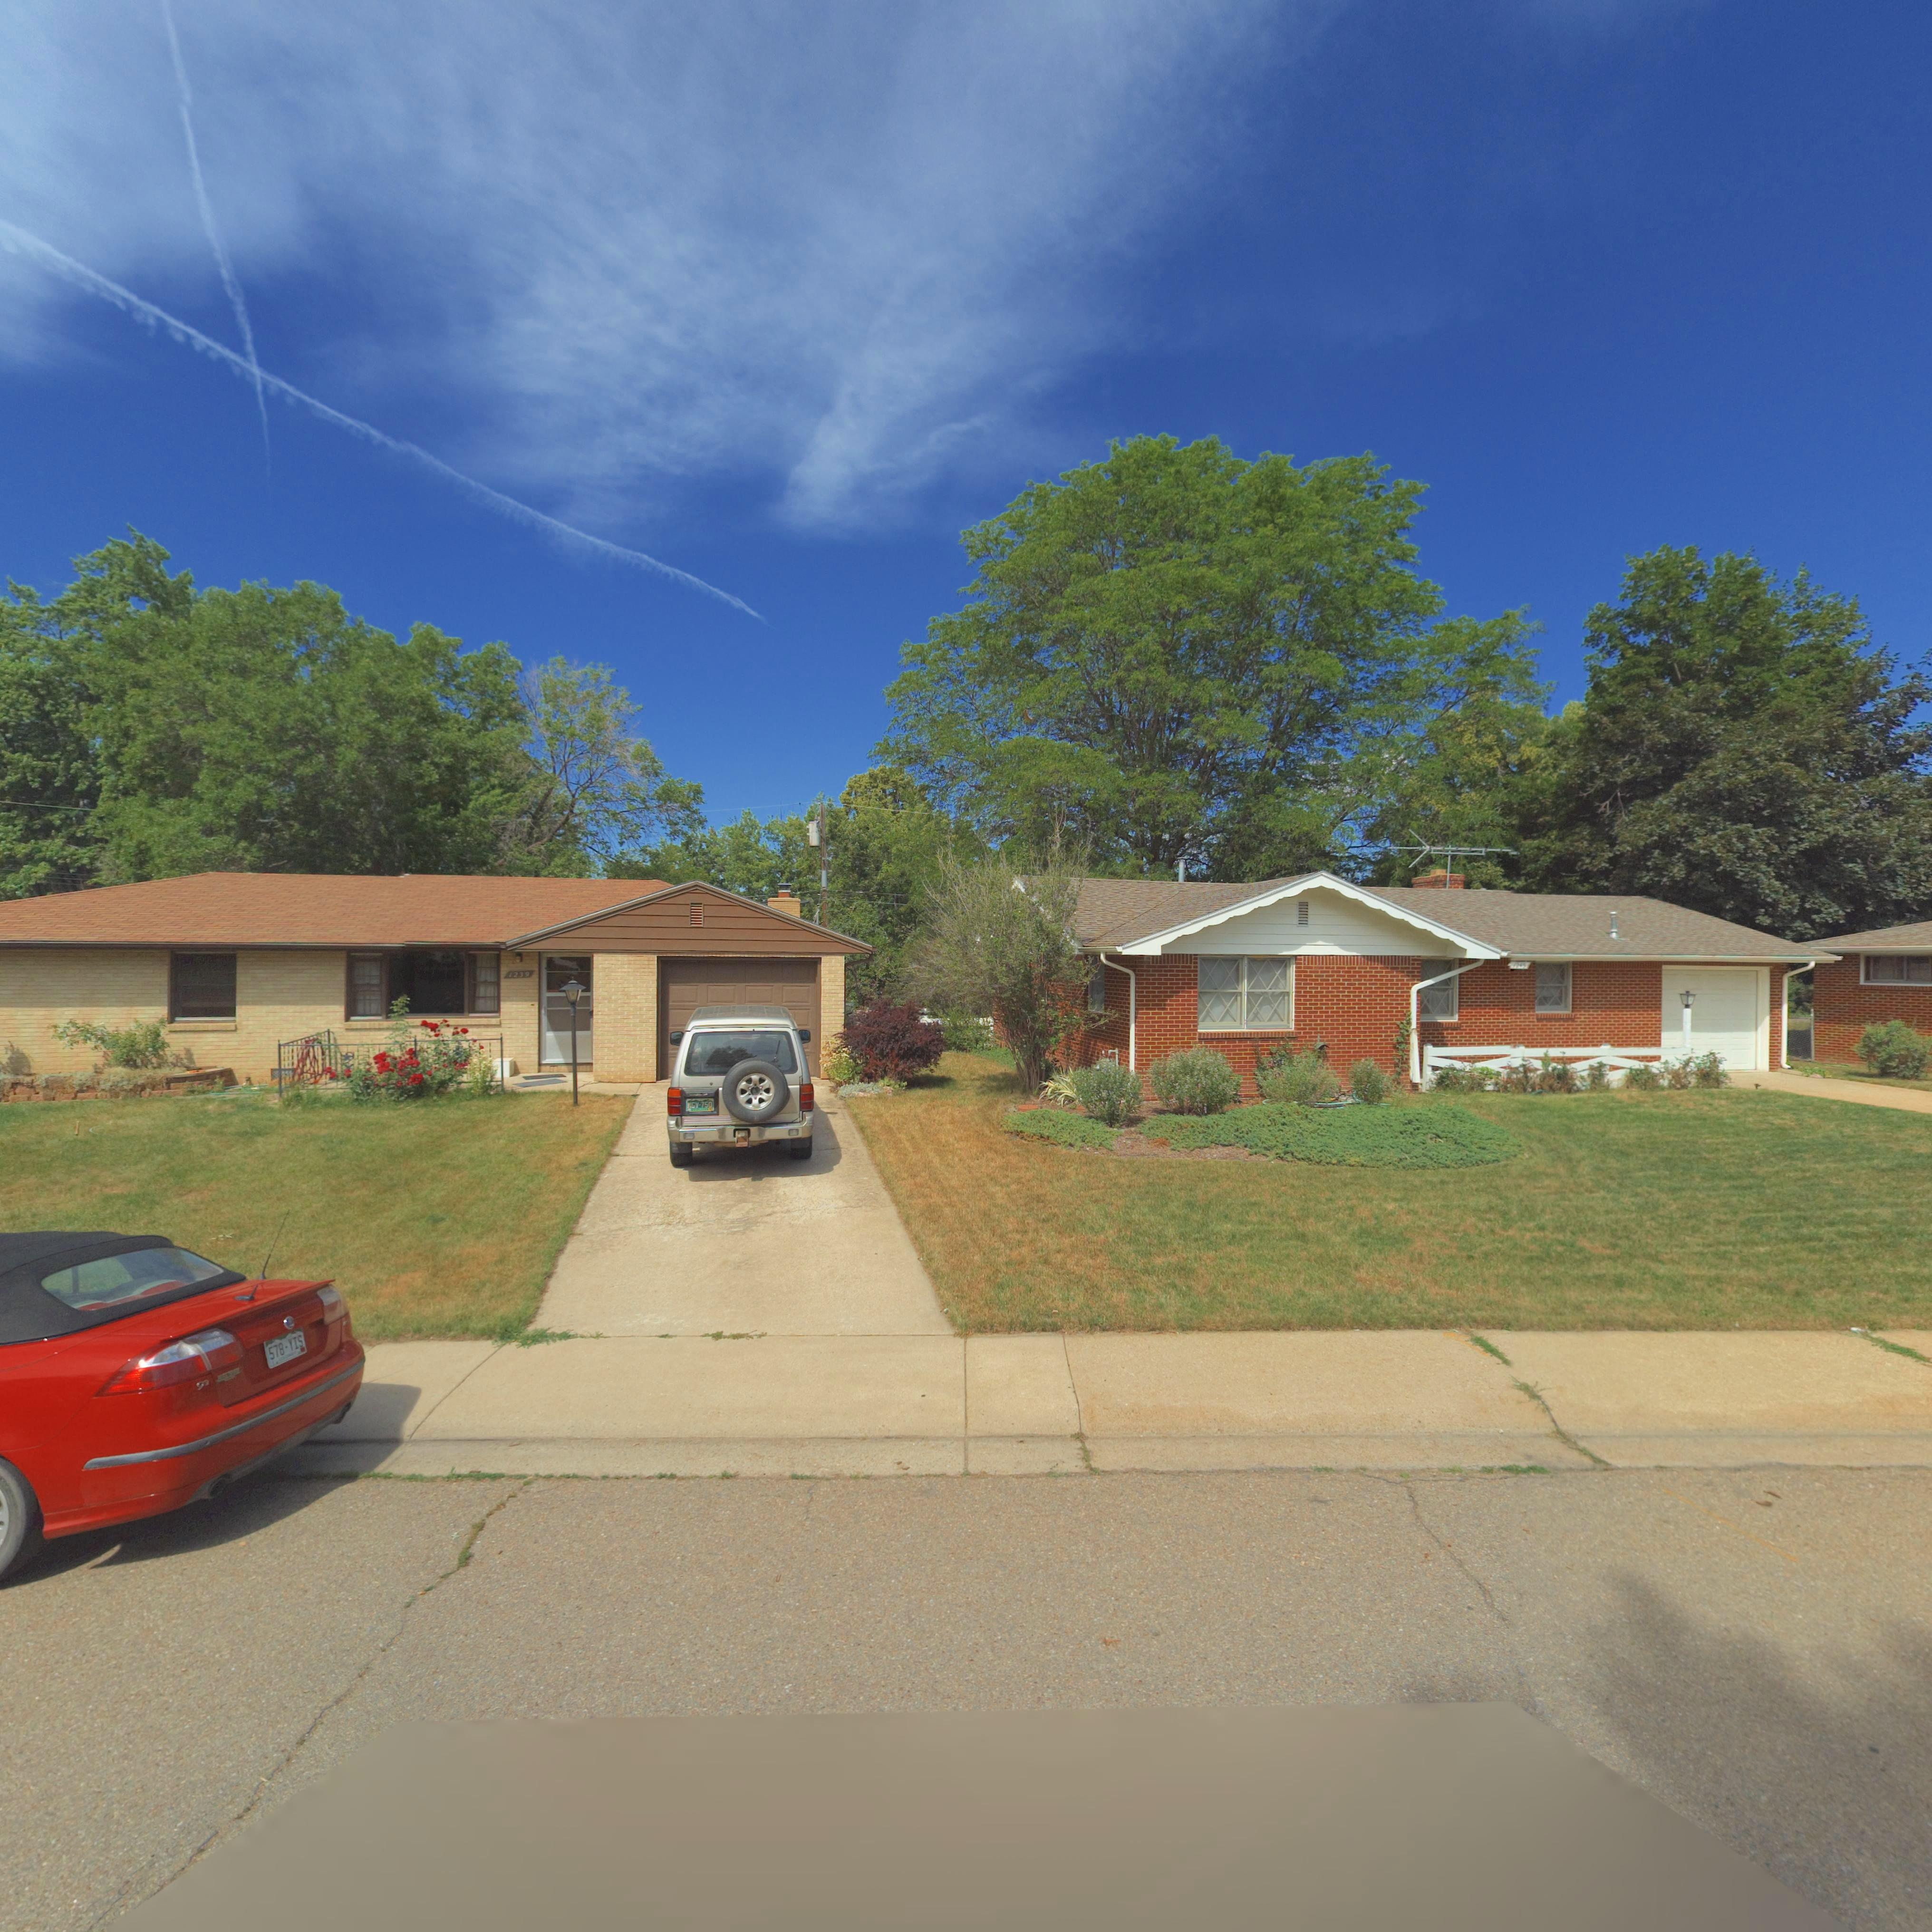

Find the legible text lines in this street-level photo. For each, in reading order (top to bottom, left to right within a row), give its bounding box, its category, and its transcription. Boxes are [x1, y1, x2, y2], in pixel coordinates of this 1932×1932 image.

[1512, 962, 1527, 968] StreetNumber: 1245
[508, 971, 530, 978] StreetNumber: 1239